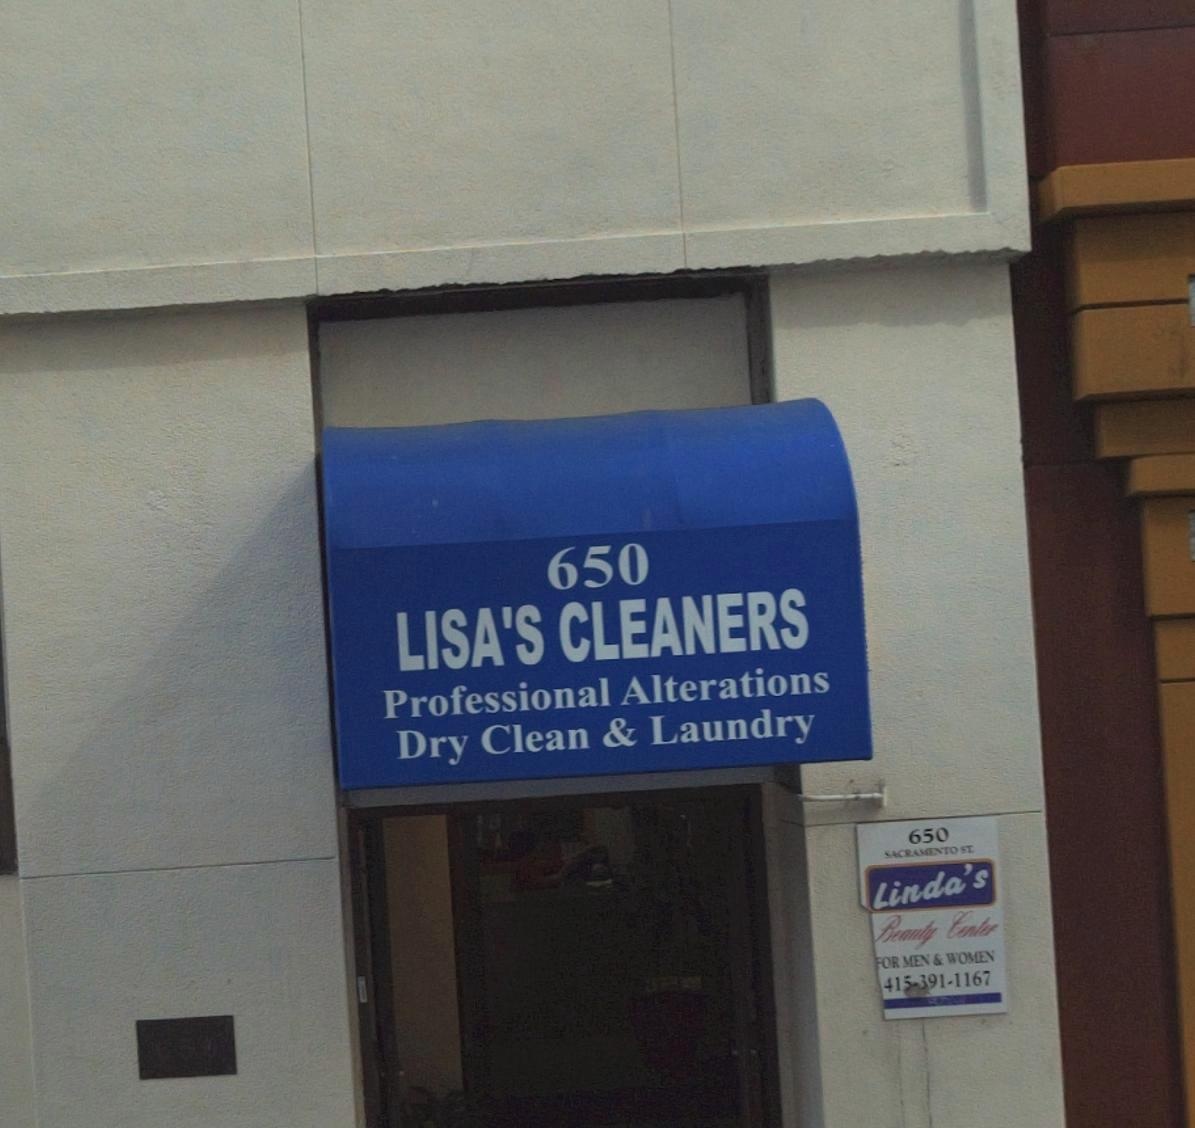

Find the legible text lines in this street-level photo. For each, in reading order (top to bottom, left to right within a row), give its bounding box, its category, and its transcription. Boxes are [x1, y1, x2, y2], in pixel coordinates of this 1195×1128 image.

[546, 540, 650, 593] StreetNumber: 650
[394, 586, 811, 673] BusinessName: LISA'S CLEANERS
[380, 665, 833, 720] None: Professional Alterations
[394, 707, 818, 767] None: Dry Clean & Laundry
[880, 842, 976, 861] StreetName: SACRAMENTO ST.
[906, 824, 951, 847] StreetNumber: 650
[870, 860, 992, 912] BusinessName: Linda's
[870, 909, 1003, 952] None: Beauty Center
[873, 947, 996, 972] None: FOR MEN & WOMEN
[878, 968, 992, 995] None: 415-391-1167